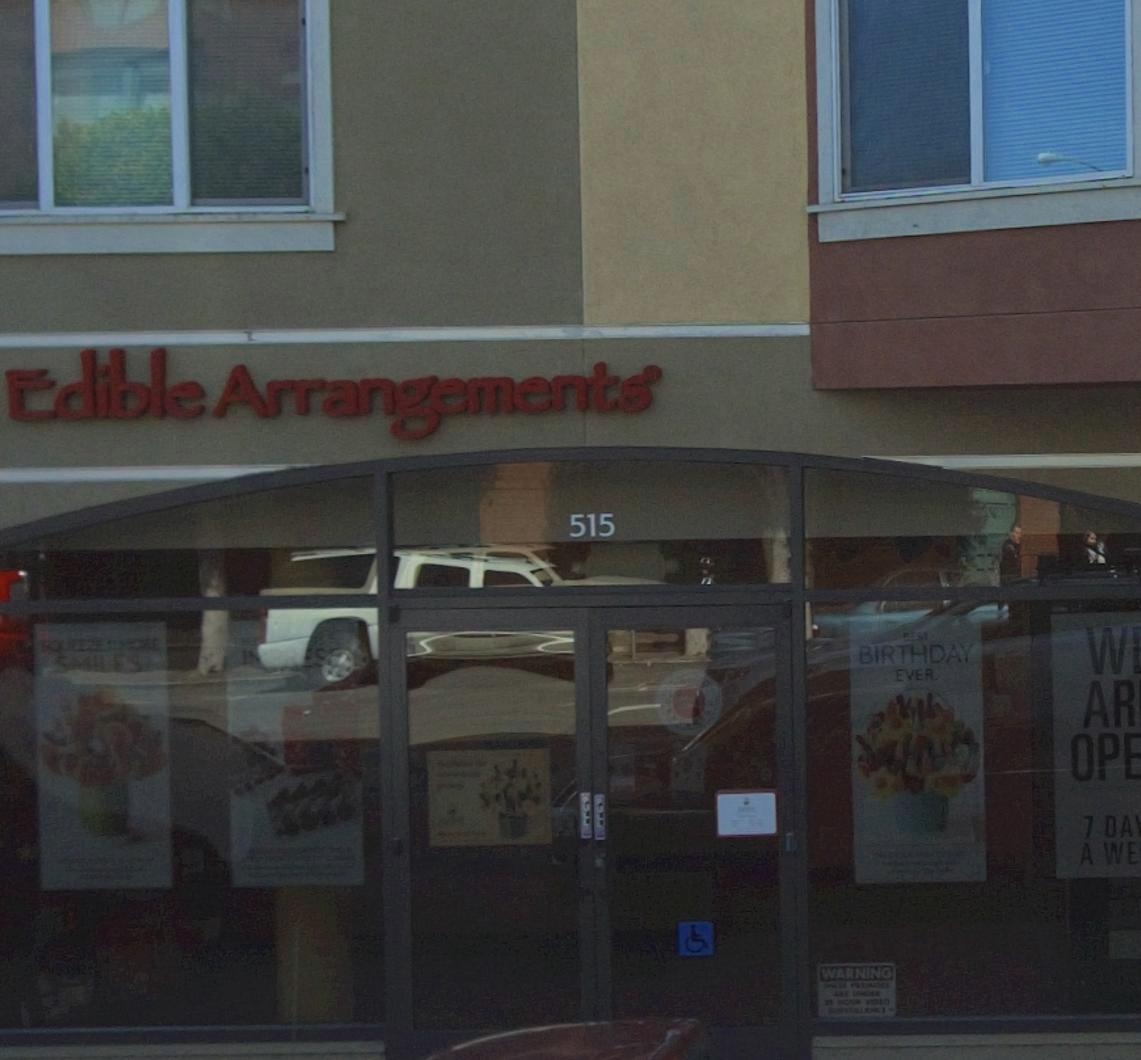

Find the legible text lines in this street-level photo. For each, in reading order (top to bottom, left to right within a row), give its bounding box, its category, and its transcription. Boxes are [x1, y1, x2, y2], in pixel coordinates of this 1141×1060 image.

[3, 344, 653, 443] BusinessName: Edible Arrangements\
[568, 511, 617, 539] StreetNumber: 515
[52, 651, 143, 676] None: SMILES
[901, 630, 929, 643] None: BEST
[857, 641, 975, 666] None: BIRTHDAY
[895, 667, 941, 683] None: EVER
[1084, 622, 1131, 677] None: W
[1079, 678, 1137, 730] None: AR
[1068, 731, 1121, 784] None: OP
[579, 794, 593, 828] None: PULL
[594, 795, 605, 830] None: PULL
[1081, 814, 1134, 840] None: 7 DA
[1077, 840, 1140, 869] None: A WE
[818, 966, 894, 982] None: WARNING